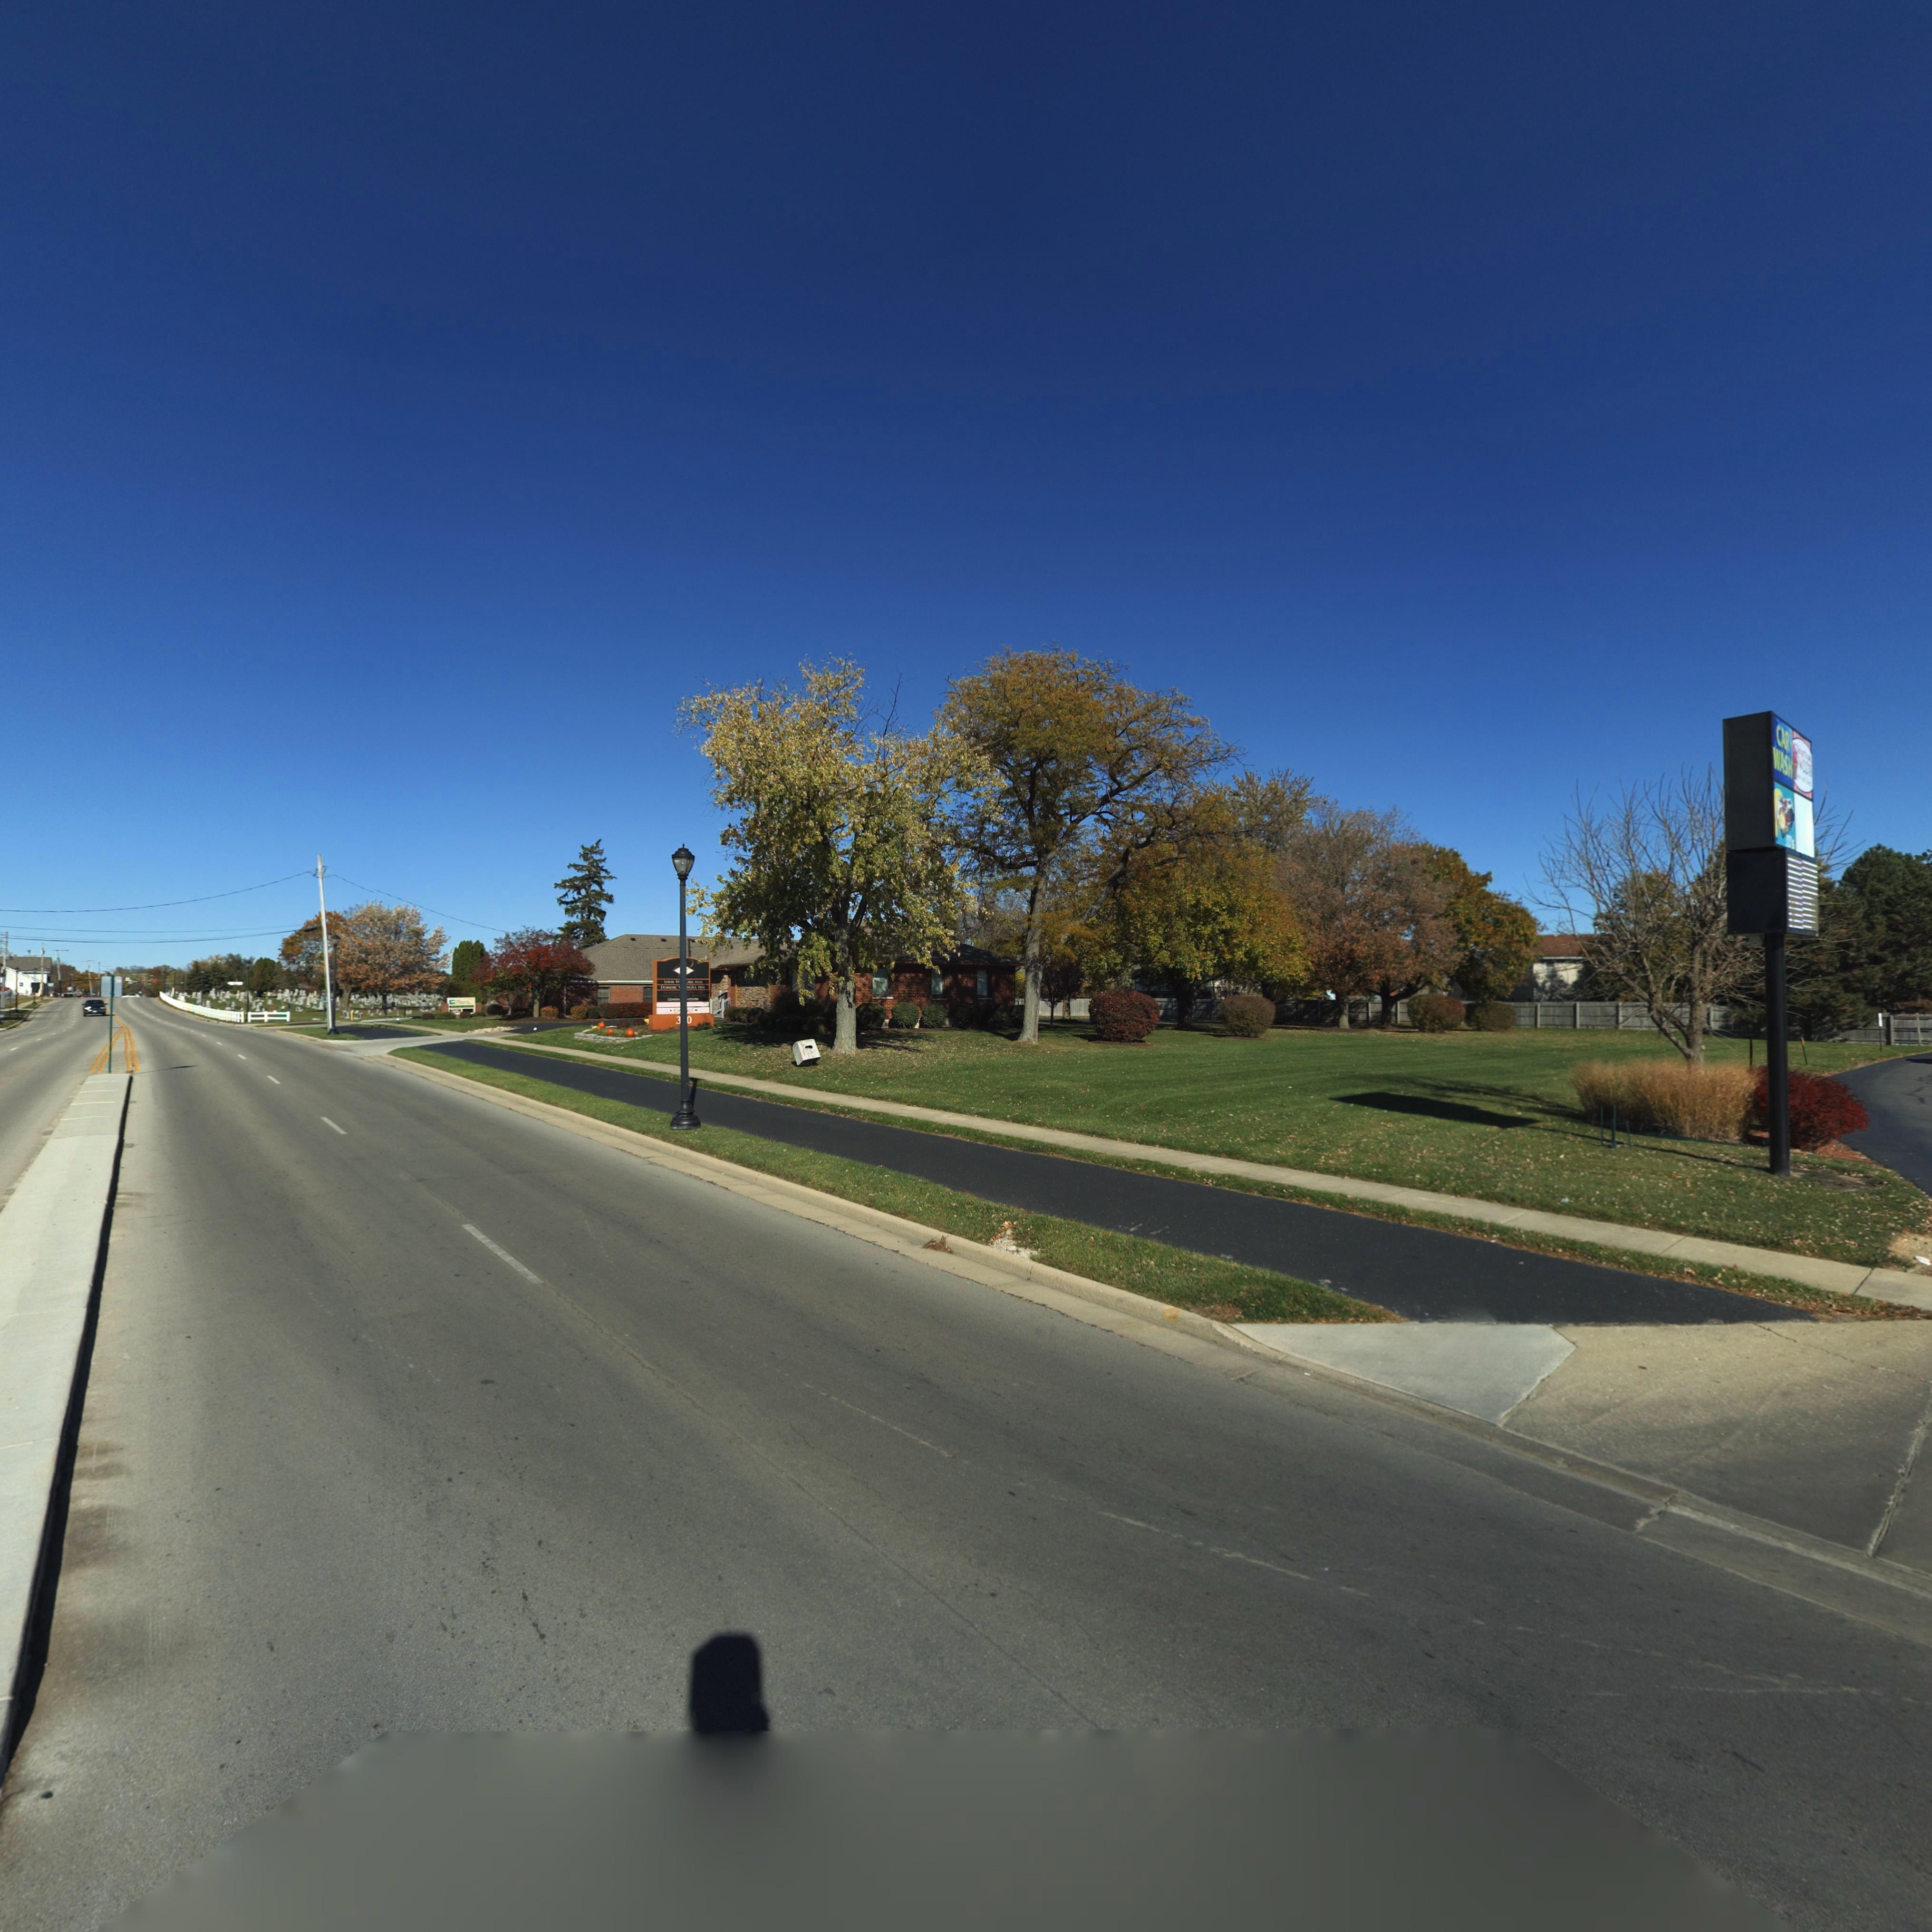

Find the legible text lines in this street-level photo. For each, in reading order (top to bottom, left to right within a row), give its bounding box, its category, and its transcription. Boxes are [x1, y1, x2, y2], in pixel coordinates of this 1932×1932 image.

[1775, 723, 1790, 755] None: CAR
[1772, 745, 1794, 781] None: WASH
[676, 1015, 693, 1025] StreetNumber: 3*0
[687, 1007, 694, 1013] None: 65